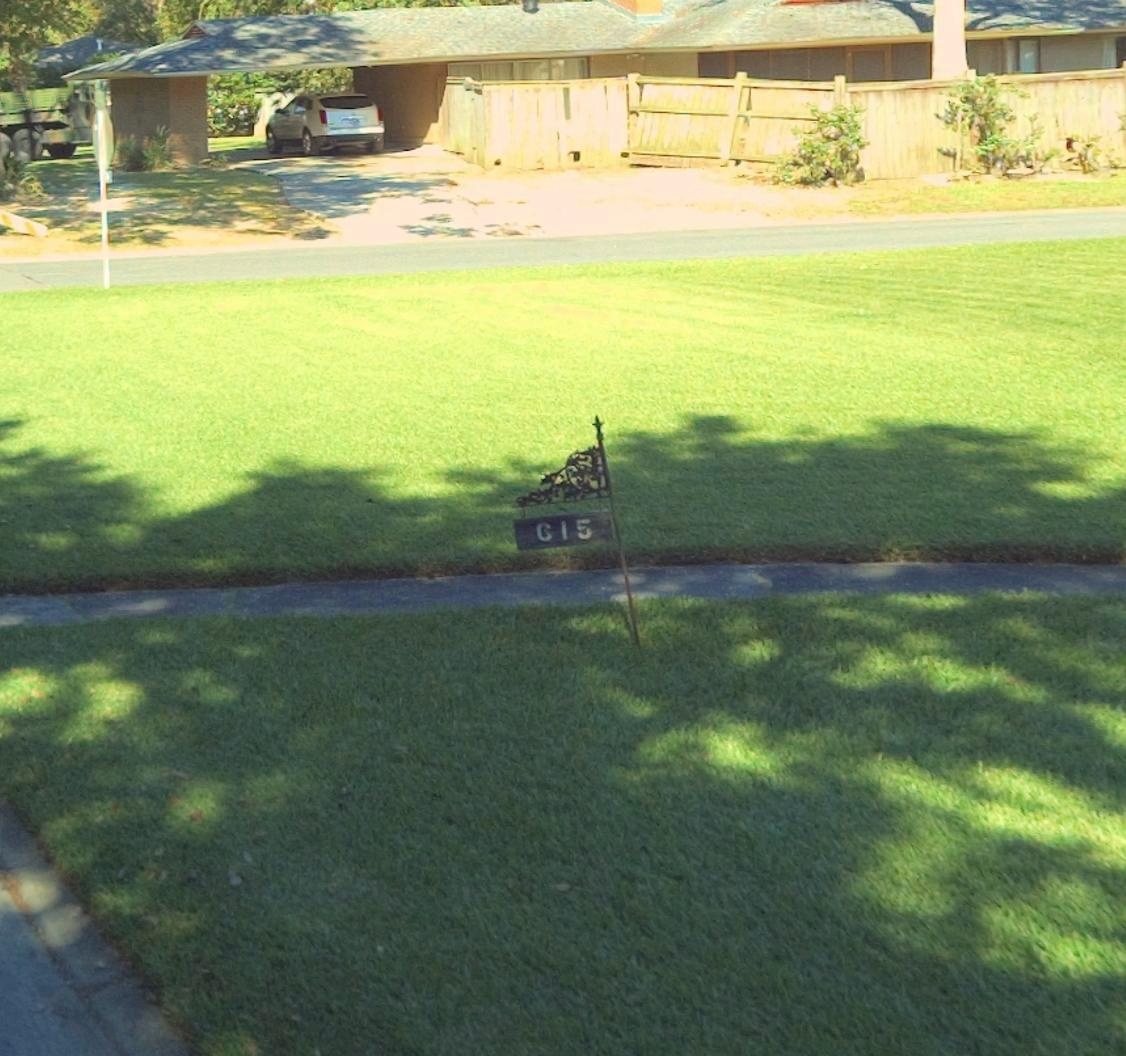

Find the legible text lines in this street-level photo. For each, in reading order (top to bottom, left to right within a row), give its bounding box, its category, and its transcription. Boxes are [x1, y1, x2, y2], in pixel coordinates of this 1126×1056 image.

[534, 515, 596, 544] StreetNumber: 615